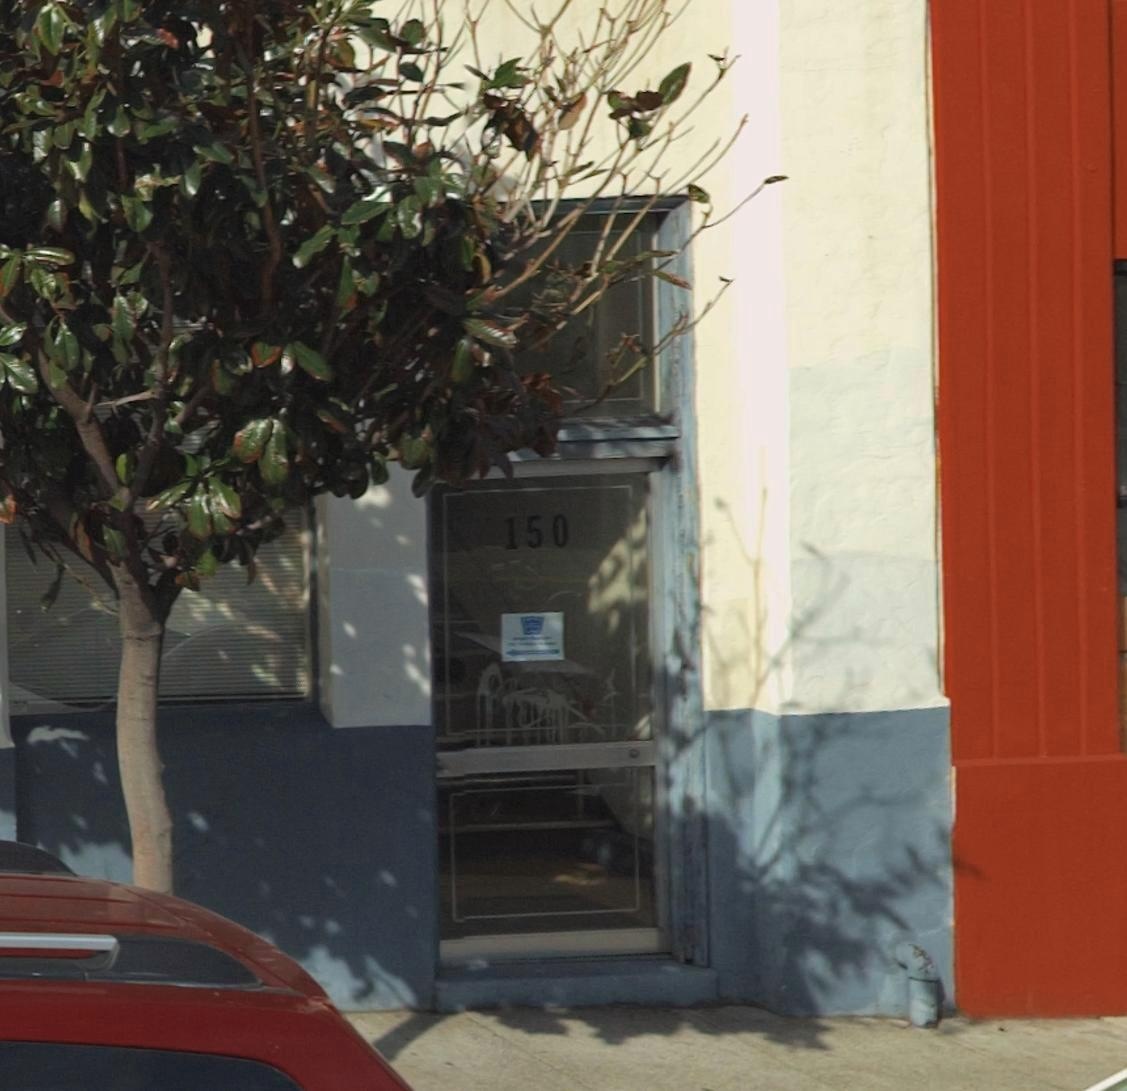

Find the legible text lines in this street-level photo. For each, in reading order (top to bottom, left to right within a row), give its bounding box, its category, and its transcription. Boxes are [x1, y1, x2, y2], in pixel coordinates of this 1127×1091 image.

[501, 510, 571, 554] StreetNumber: 150